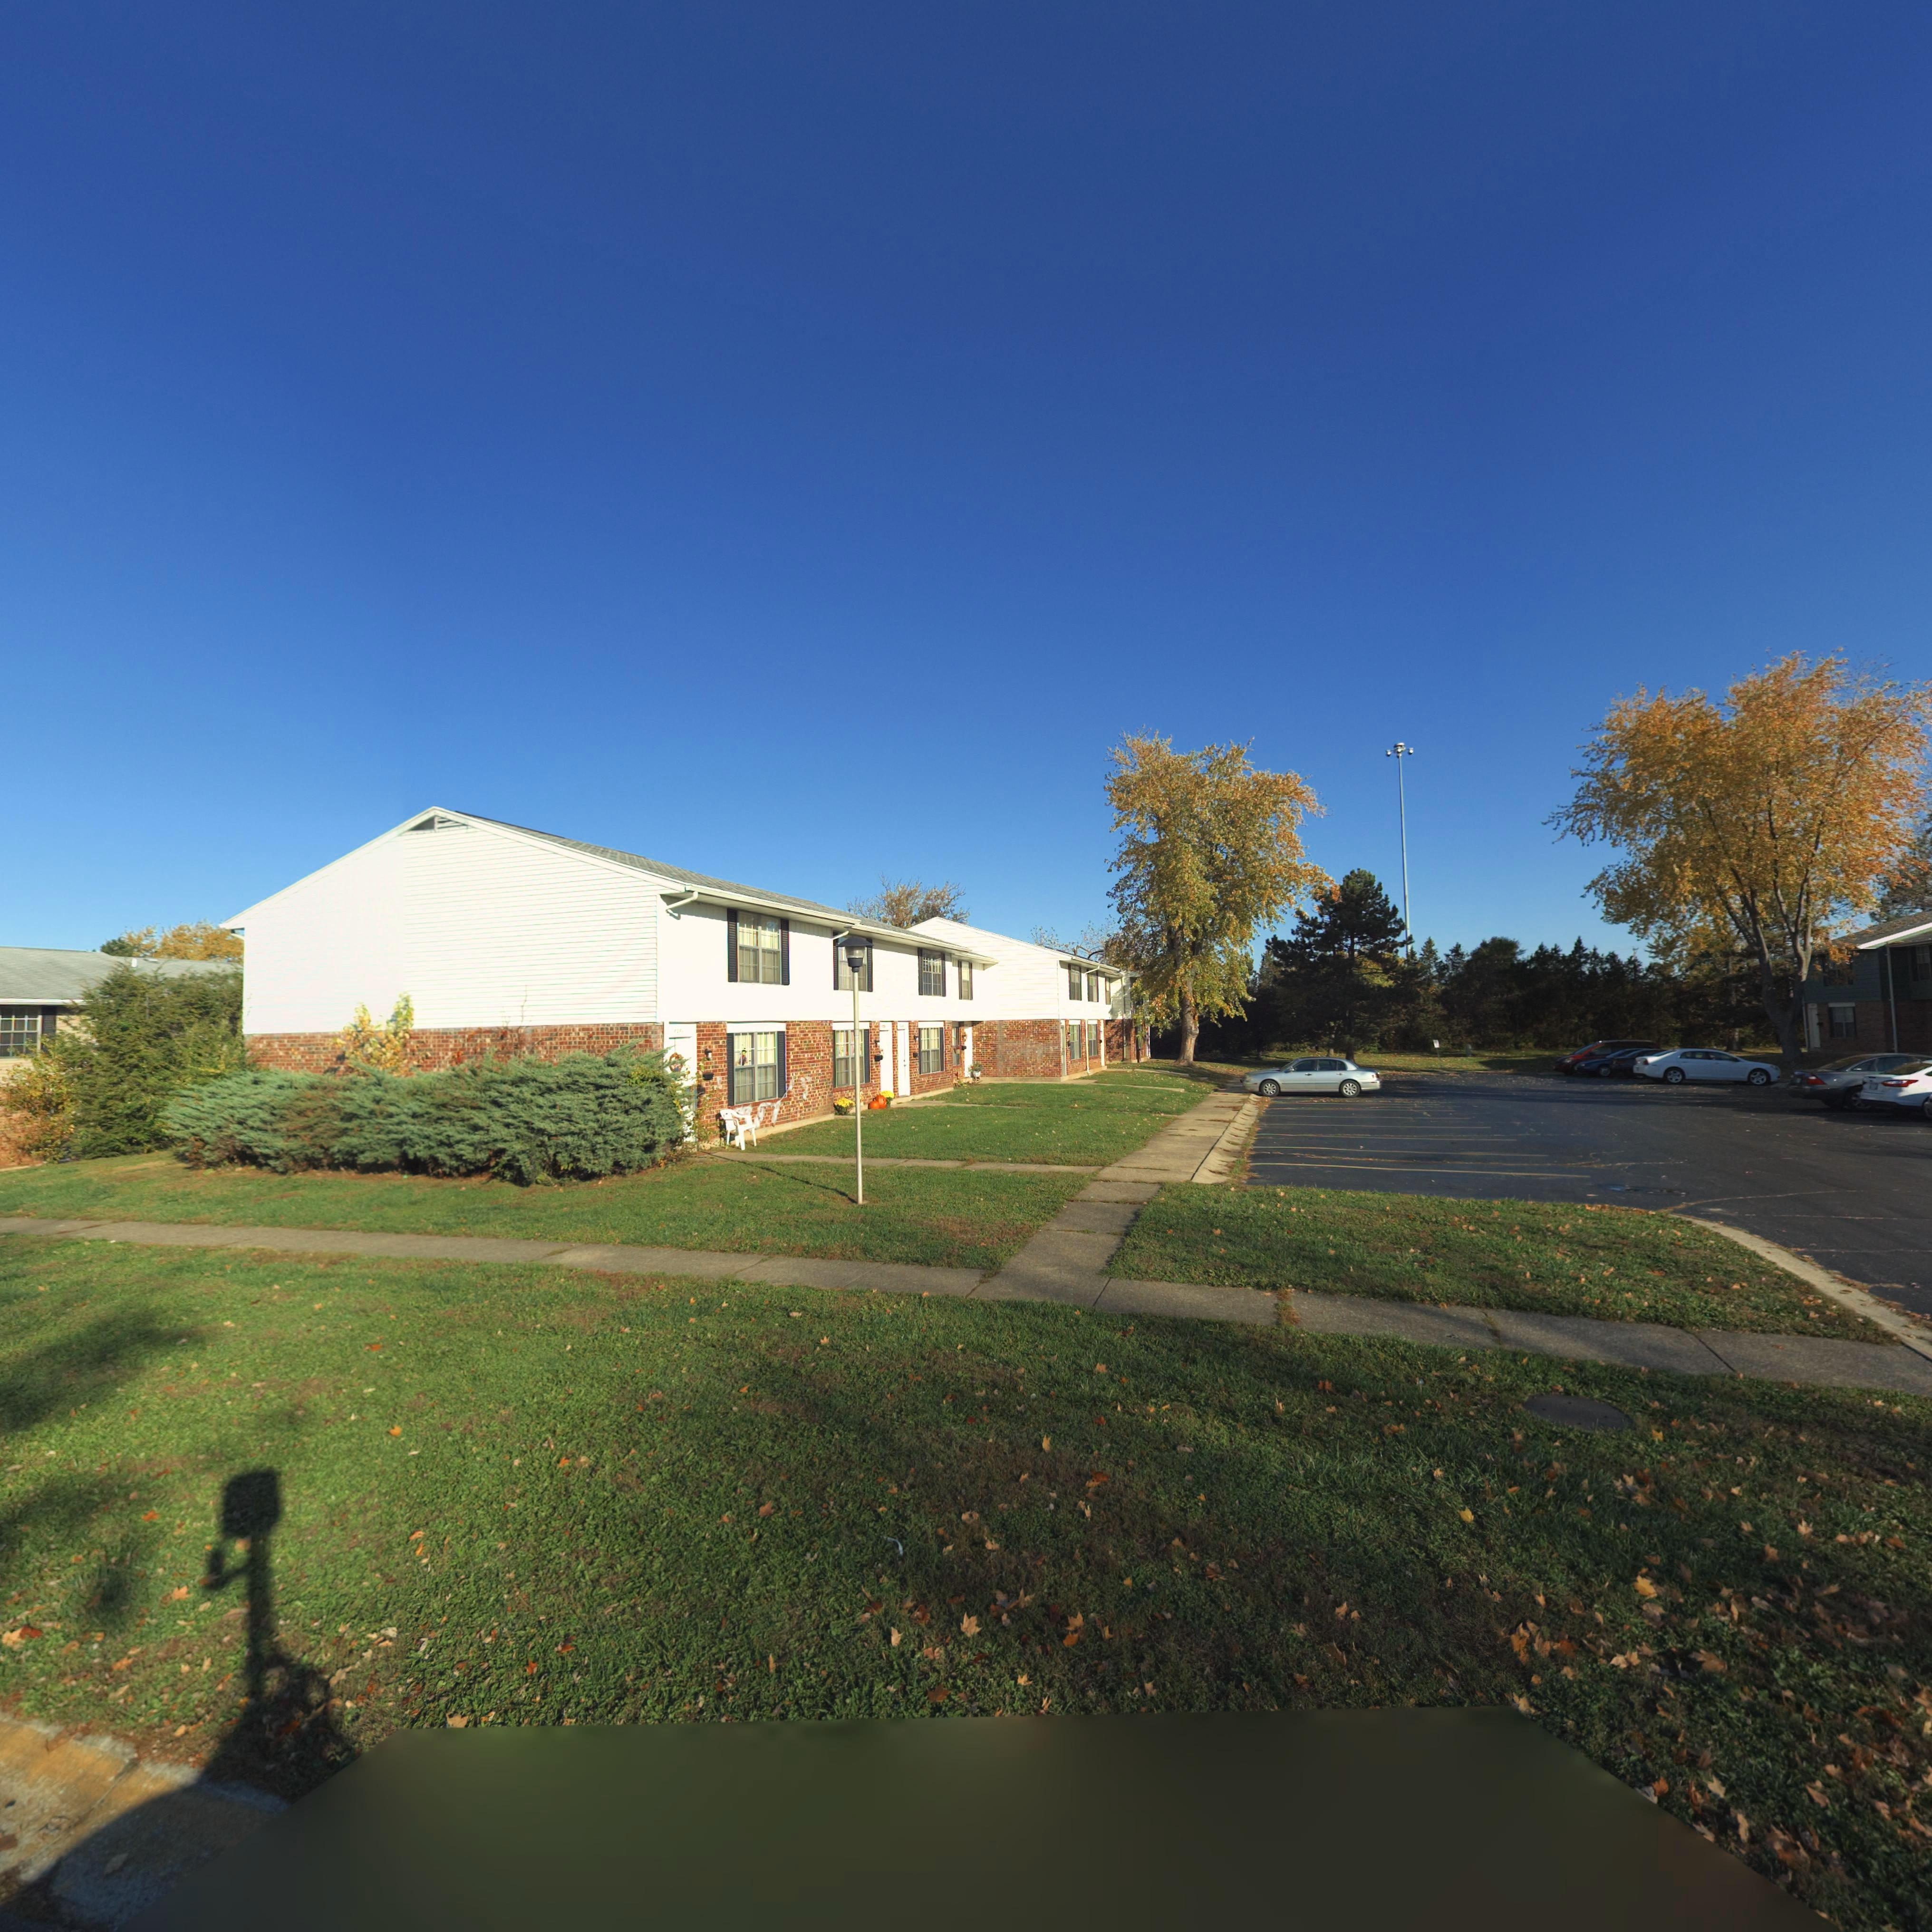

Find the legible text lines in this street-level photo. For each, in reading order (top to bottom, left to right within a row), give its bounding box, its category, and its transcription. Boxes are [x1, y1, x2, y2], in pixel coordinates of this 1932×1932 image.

[673, 1028, 684, 1033] StreetNumber: 828*